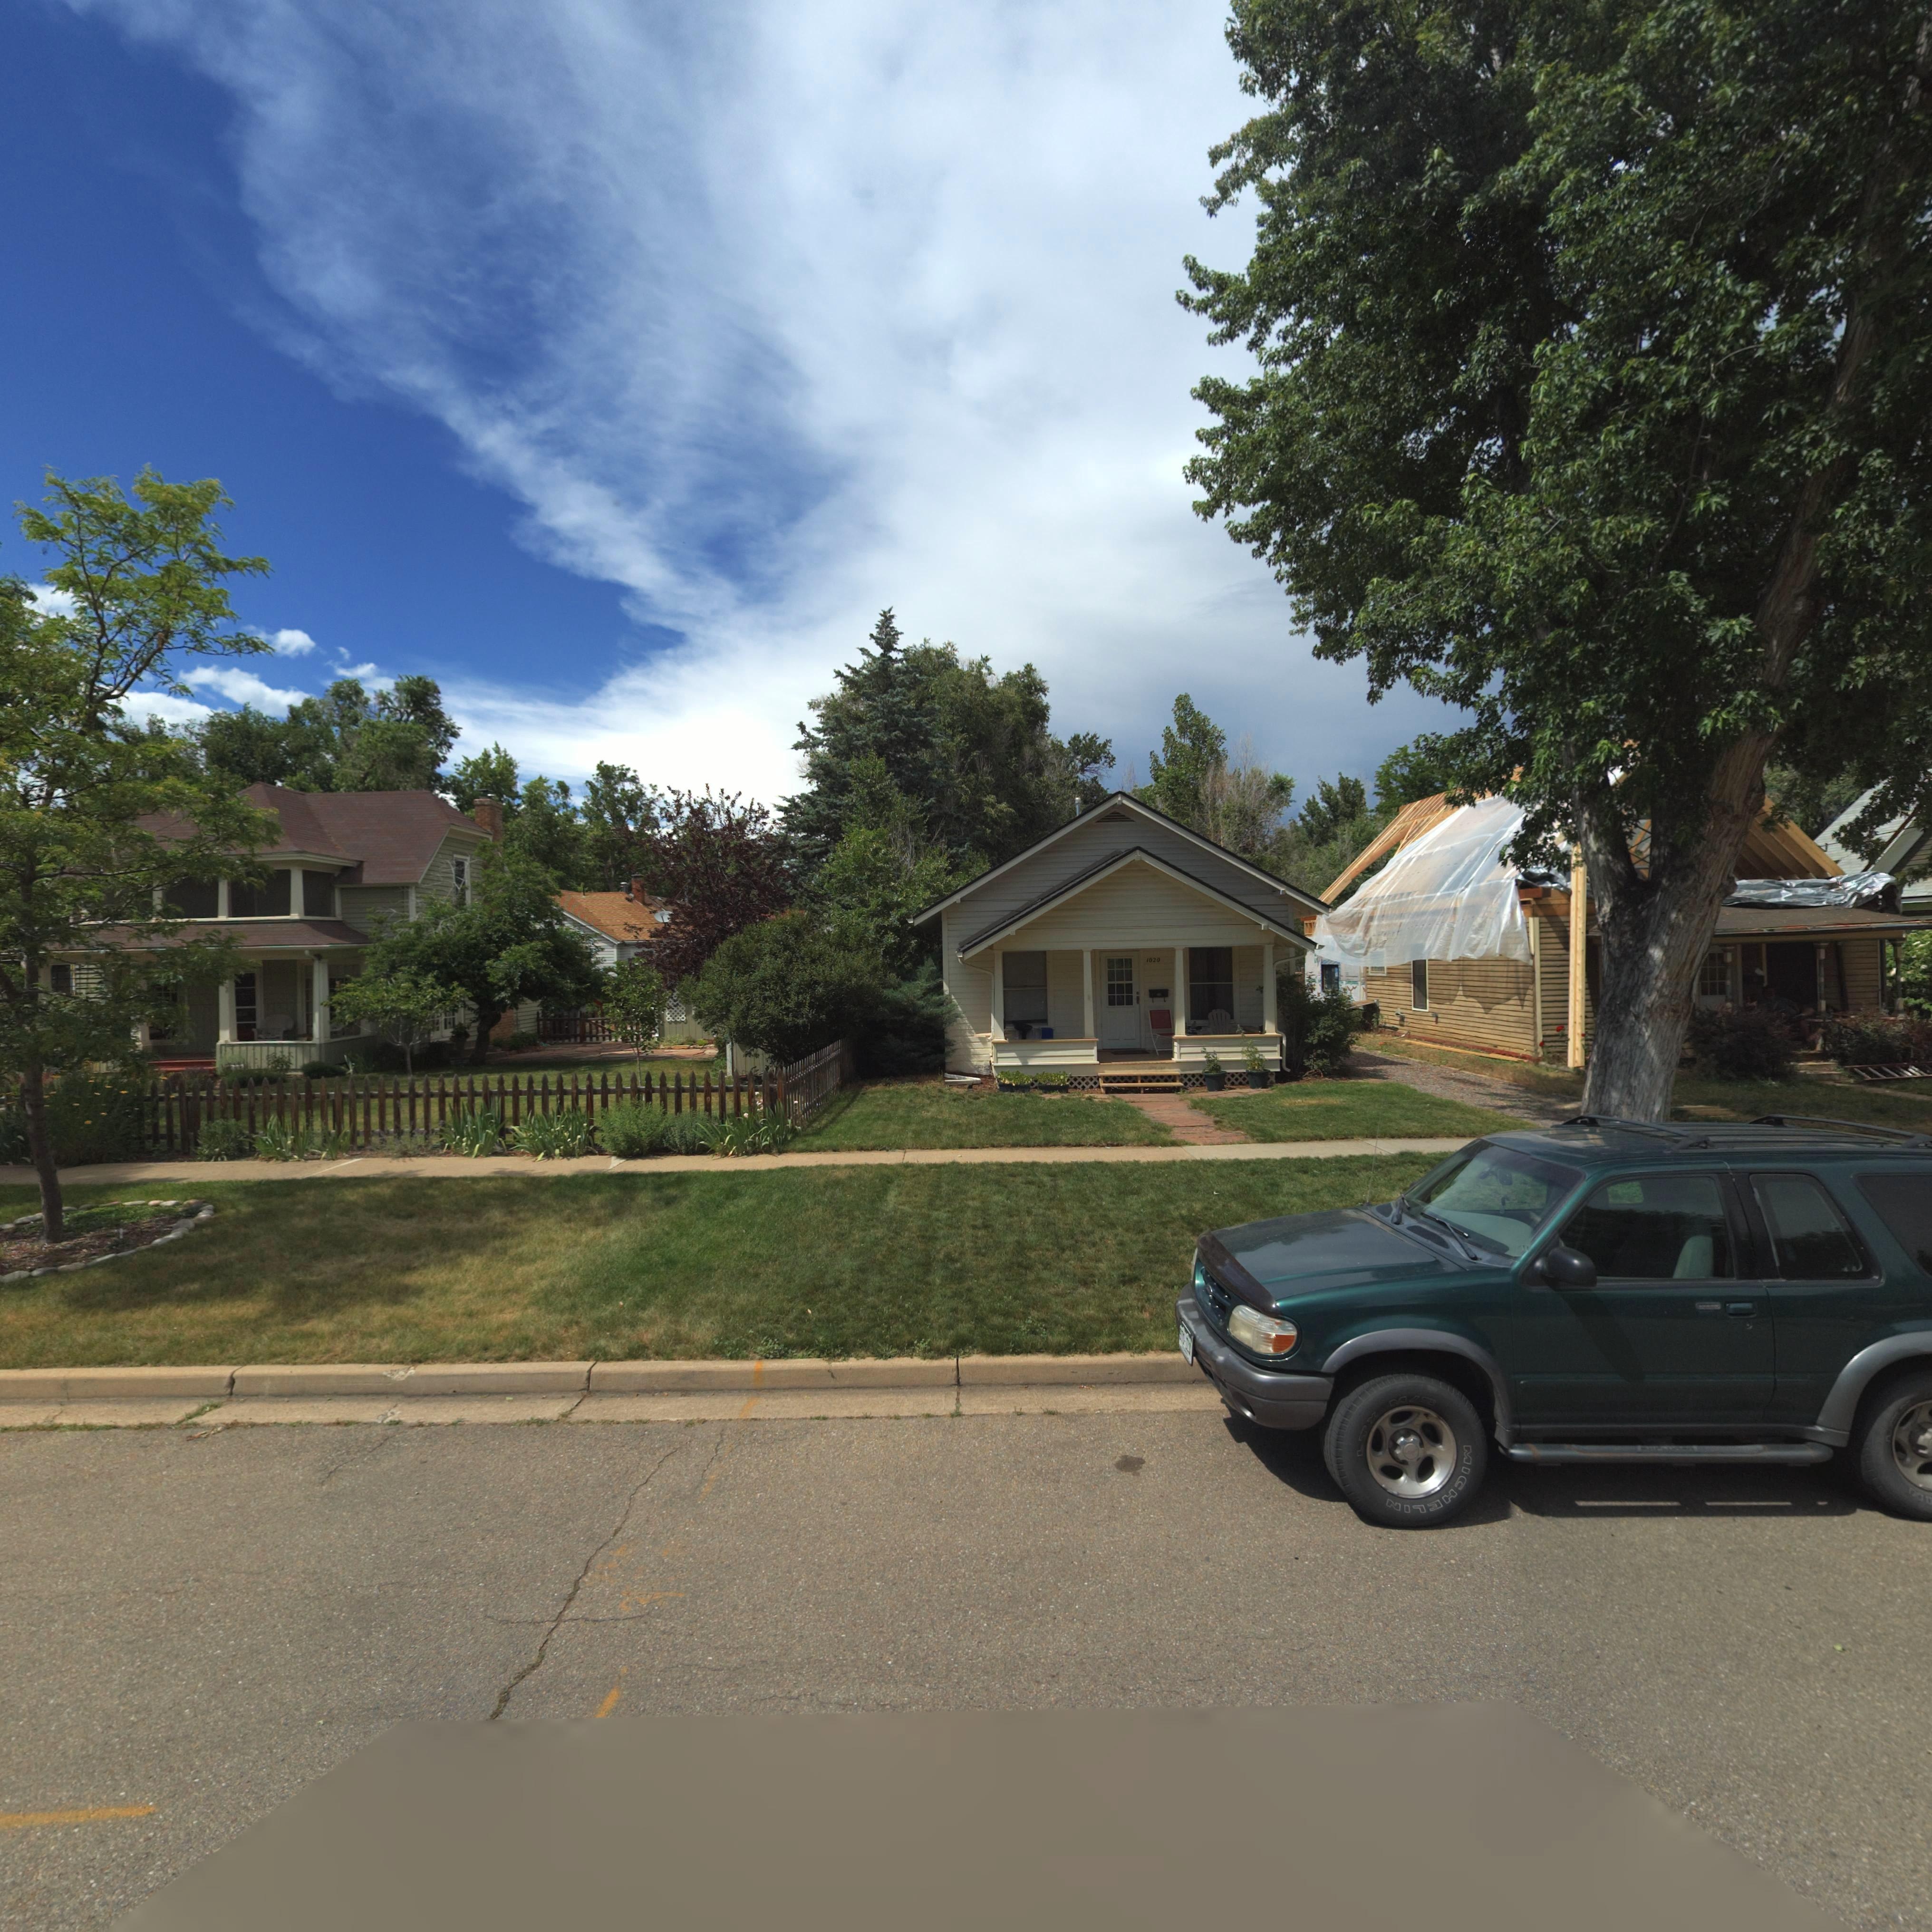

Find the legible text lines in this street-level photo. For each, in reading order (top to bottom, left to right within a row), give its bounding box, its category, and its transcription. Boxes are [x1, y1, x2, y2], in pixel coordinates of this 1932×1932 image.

[1146, 956, 1160, 963] StreetNumber: 1029